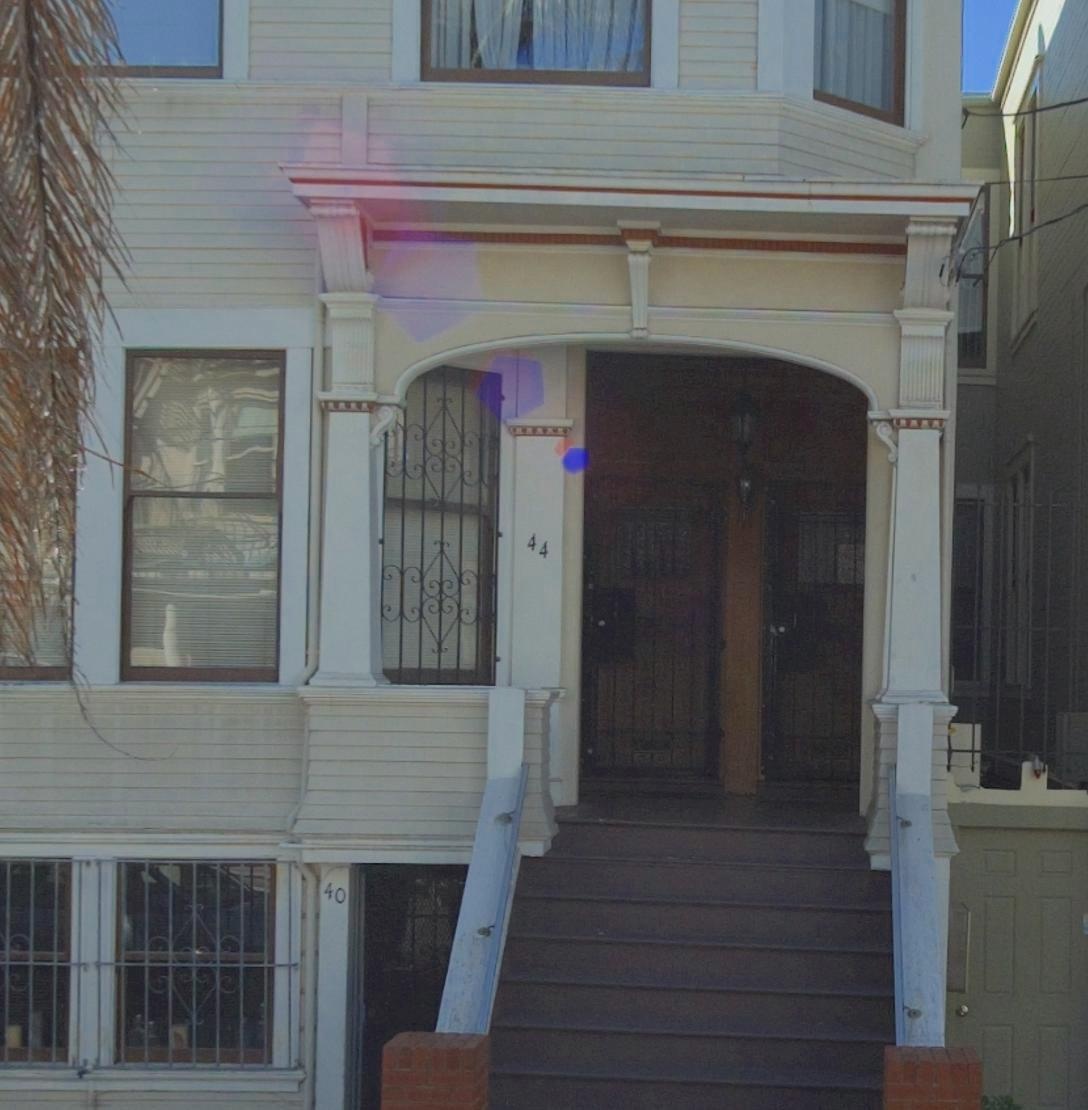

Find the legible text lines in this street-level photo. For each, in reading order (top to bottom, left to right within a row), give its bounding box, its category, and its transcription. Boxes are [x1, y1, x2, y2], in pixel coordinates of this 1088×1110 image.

[524, 531, 551, 562] StreetNumber: 44